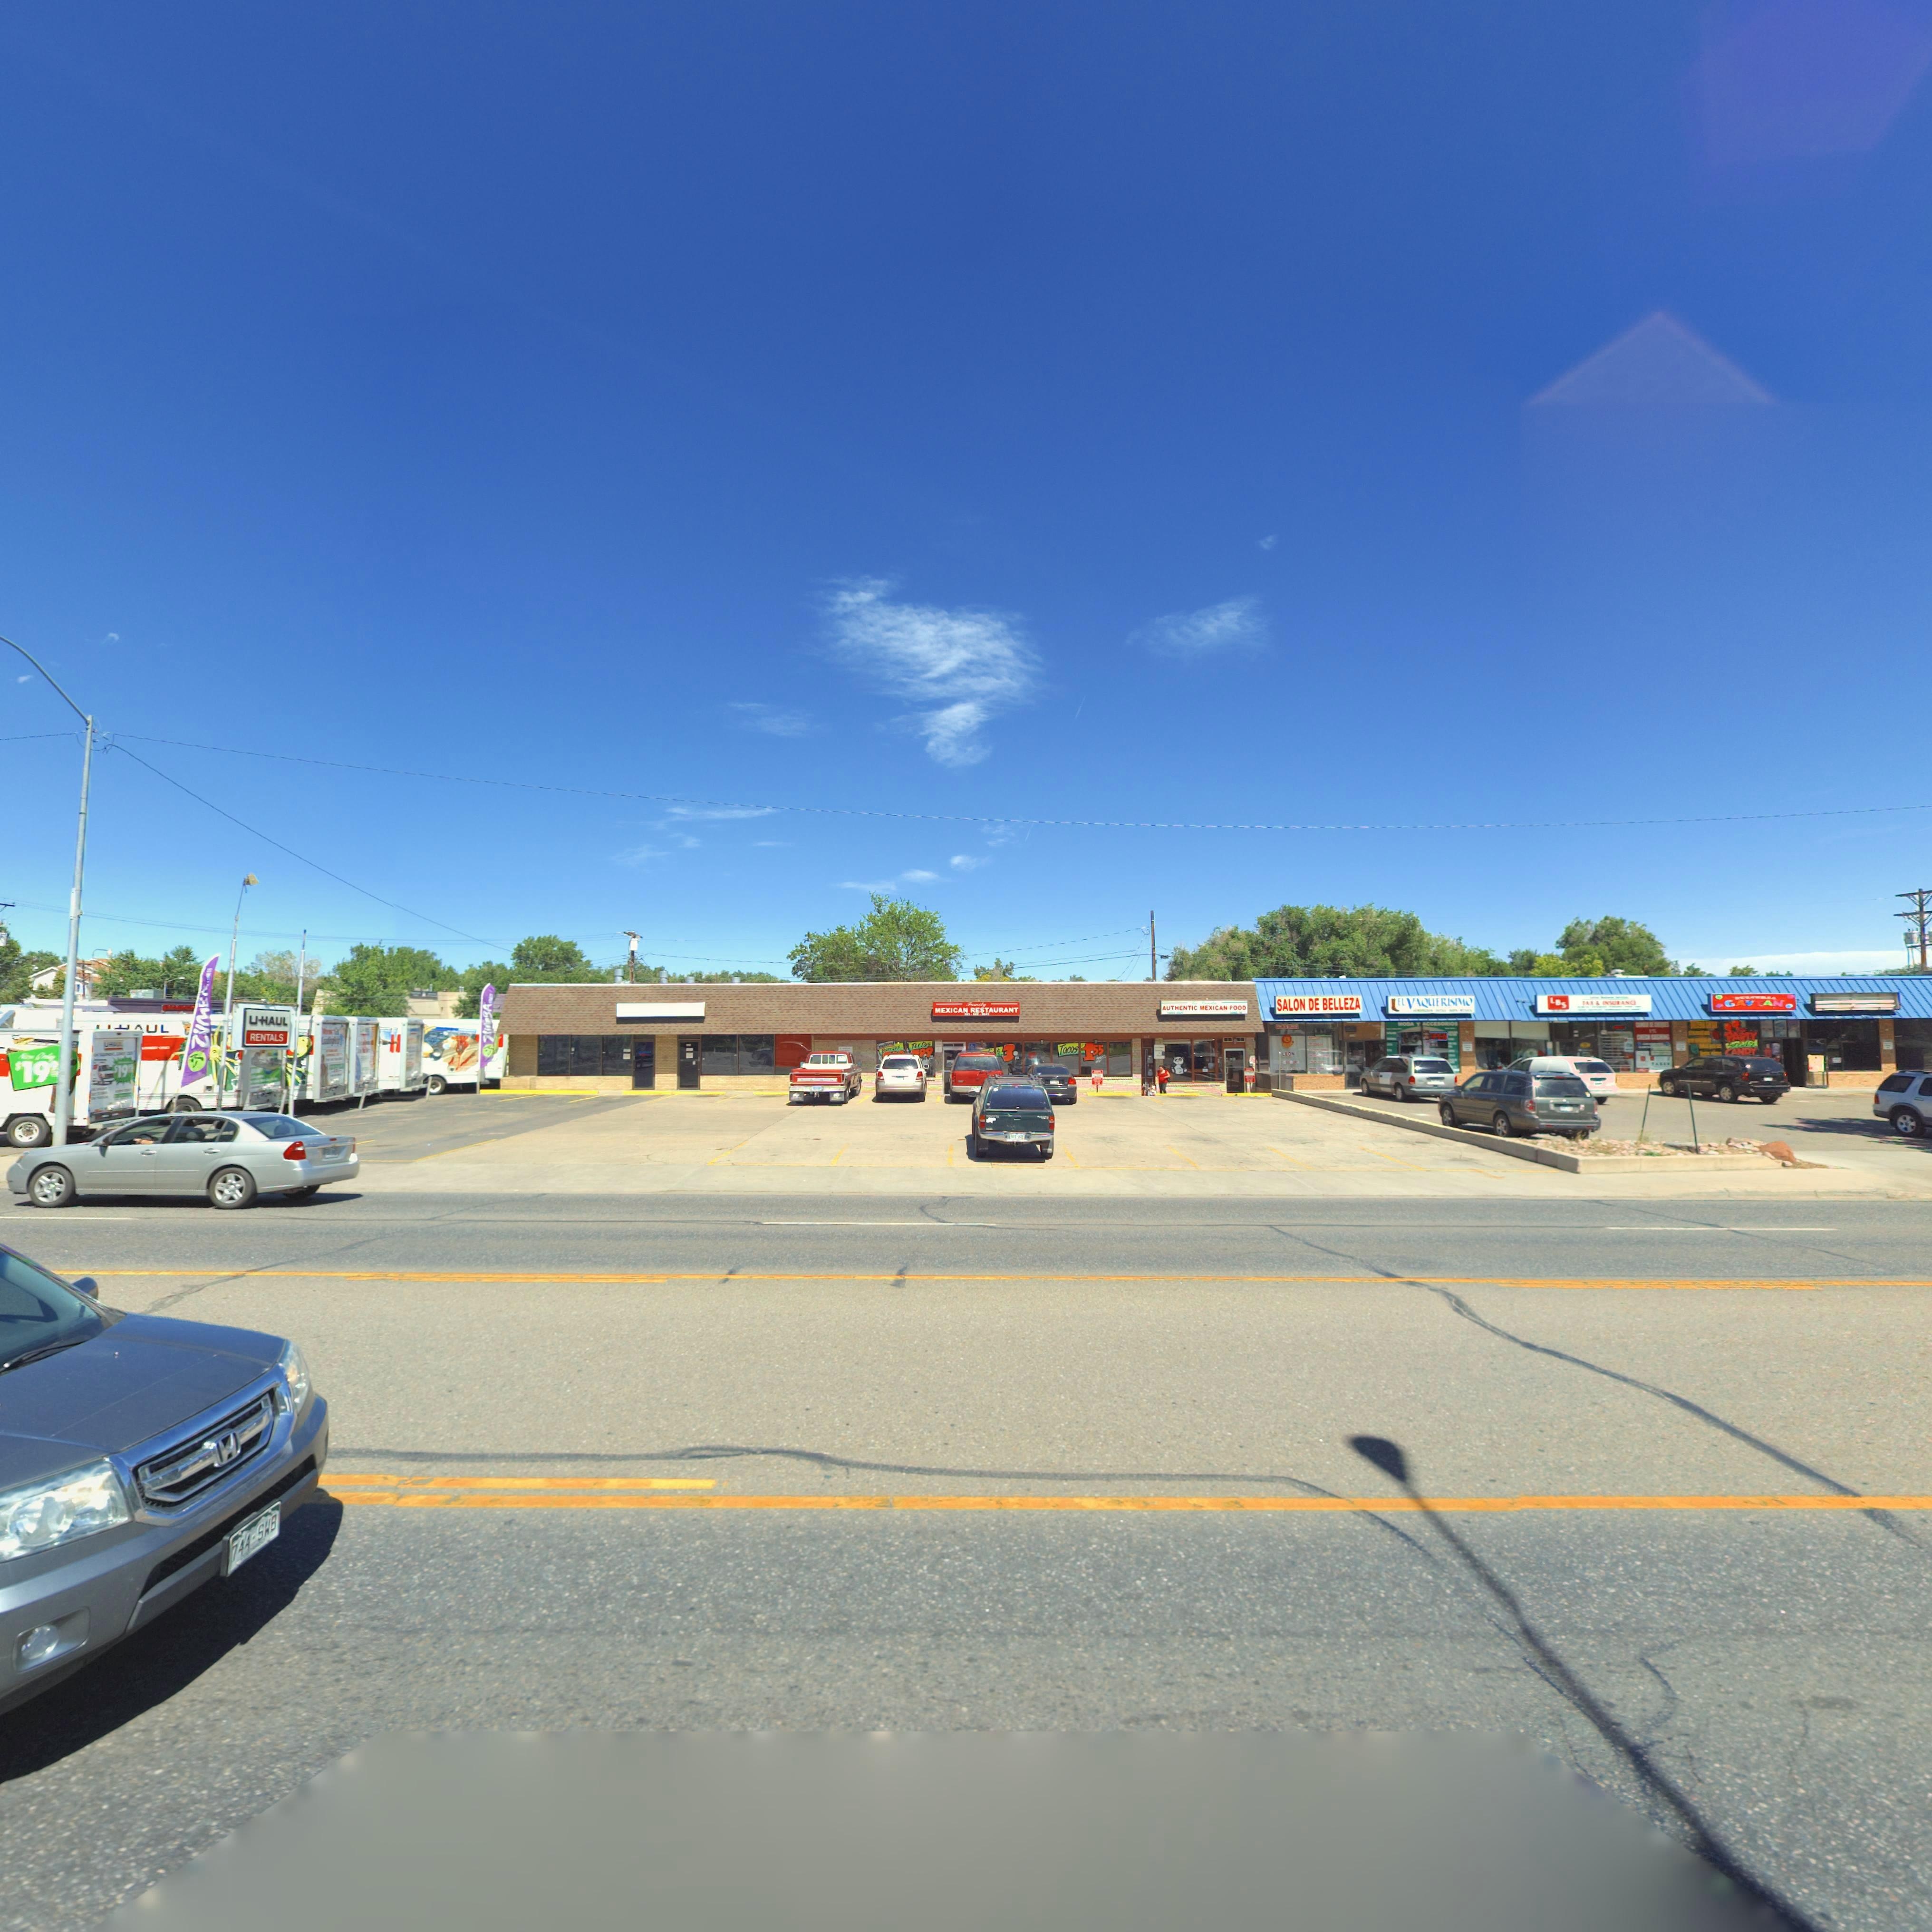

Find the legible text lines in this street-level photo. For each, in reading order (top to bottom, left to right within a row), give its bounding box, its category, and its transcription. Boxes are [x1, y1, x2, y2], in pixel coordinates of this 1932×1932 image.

[1276, 997, 1362, 1012] BusinessName: SALON DE BELLEZA
[1397, 997, 1473, 1010] BusinessName: EL VAQUERISIMO
[1549, 996, 1567, 1008] BusinessName: LBS
[1582, 1000, 1637, 1005] BusinessName: TAX & INSURANCE
[1723, 999, 1785, 1008] BusinessName: GAV*AN
[249, 1014, 289, 1026] BusinessName: UHAUL
[250, 1032, 284, 1042] BusinessName: RENTALS